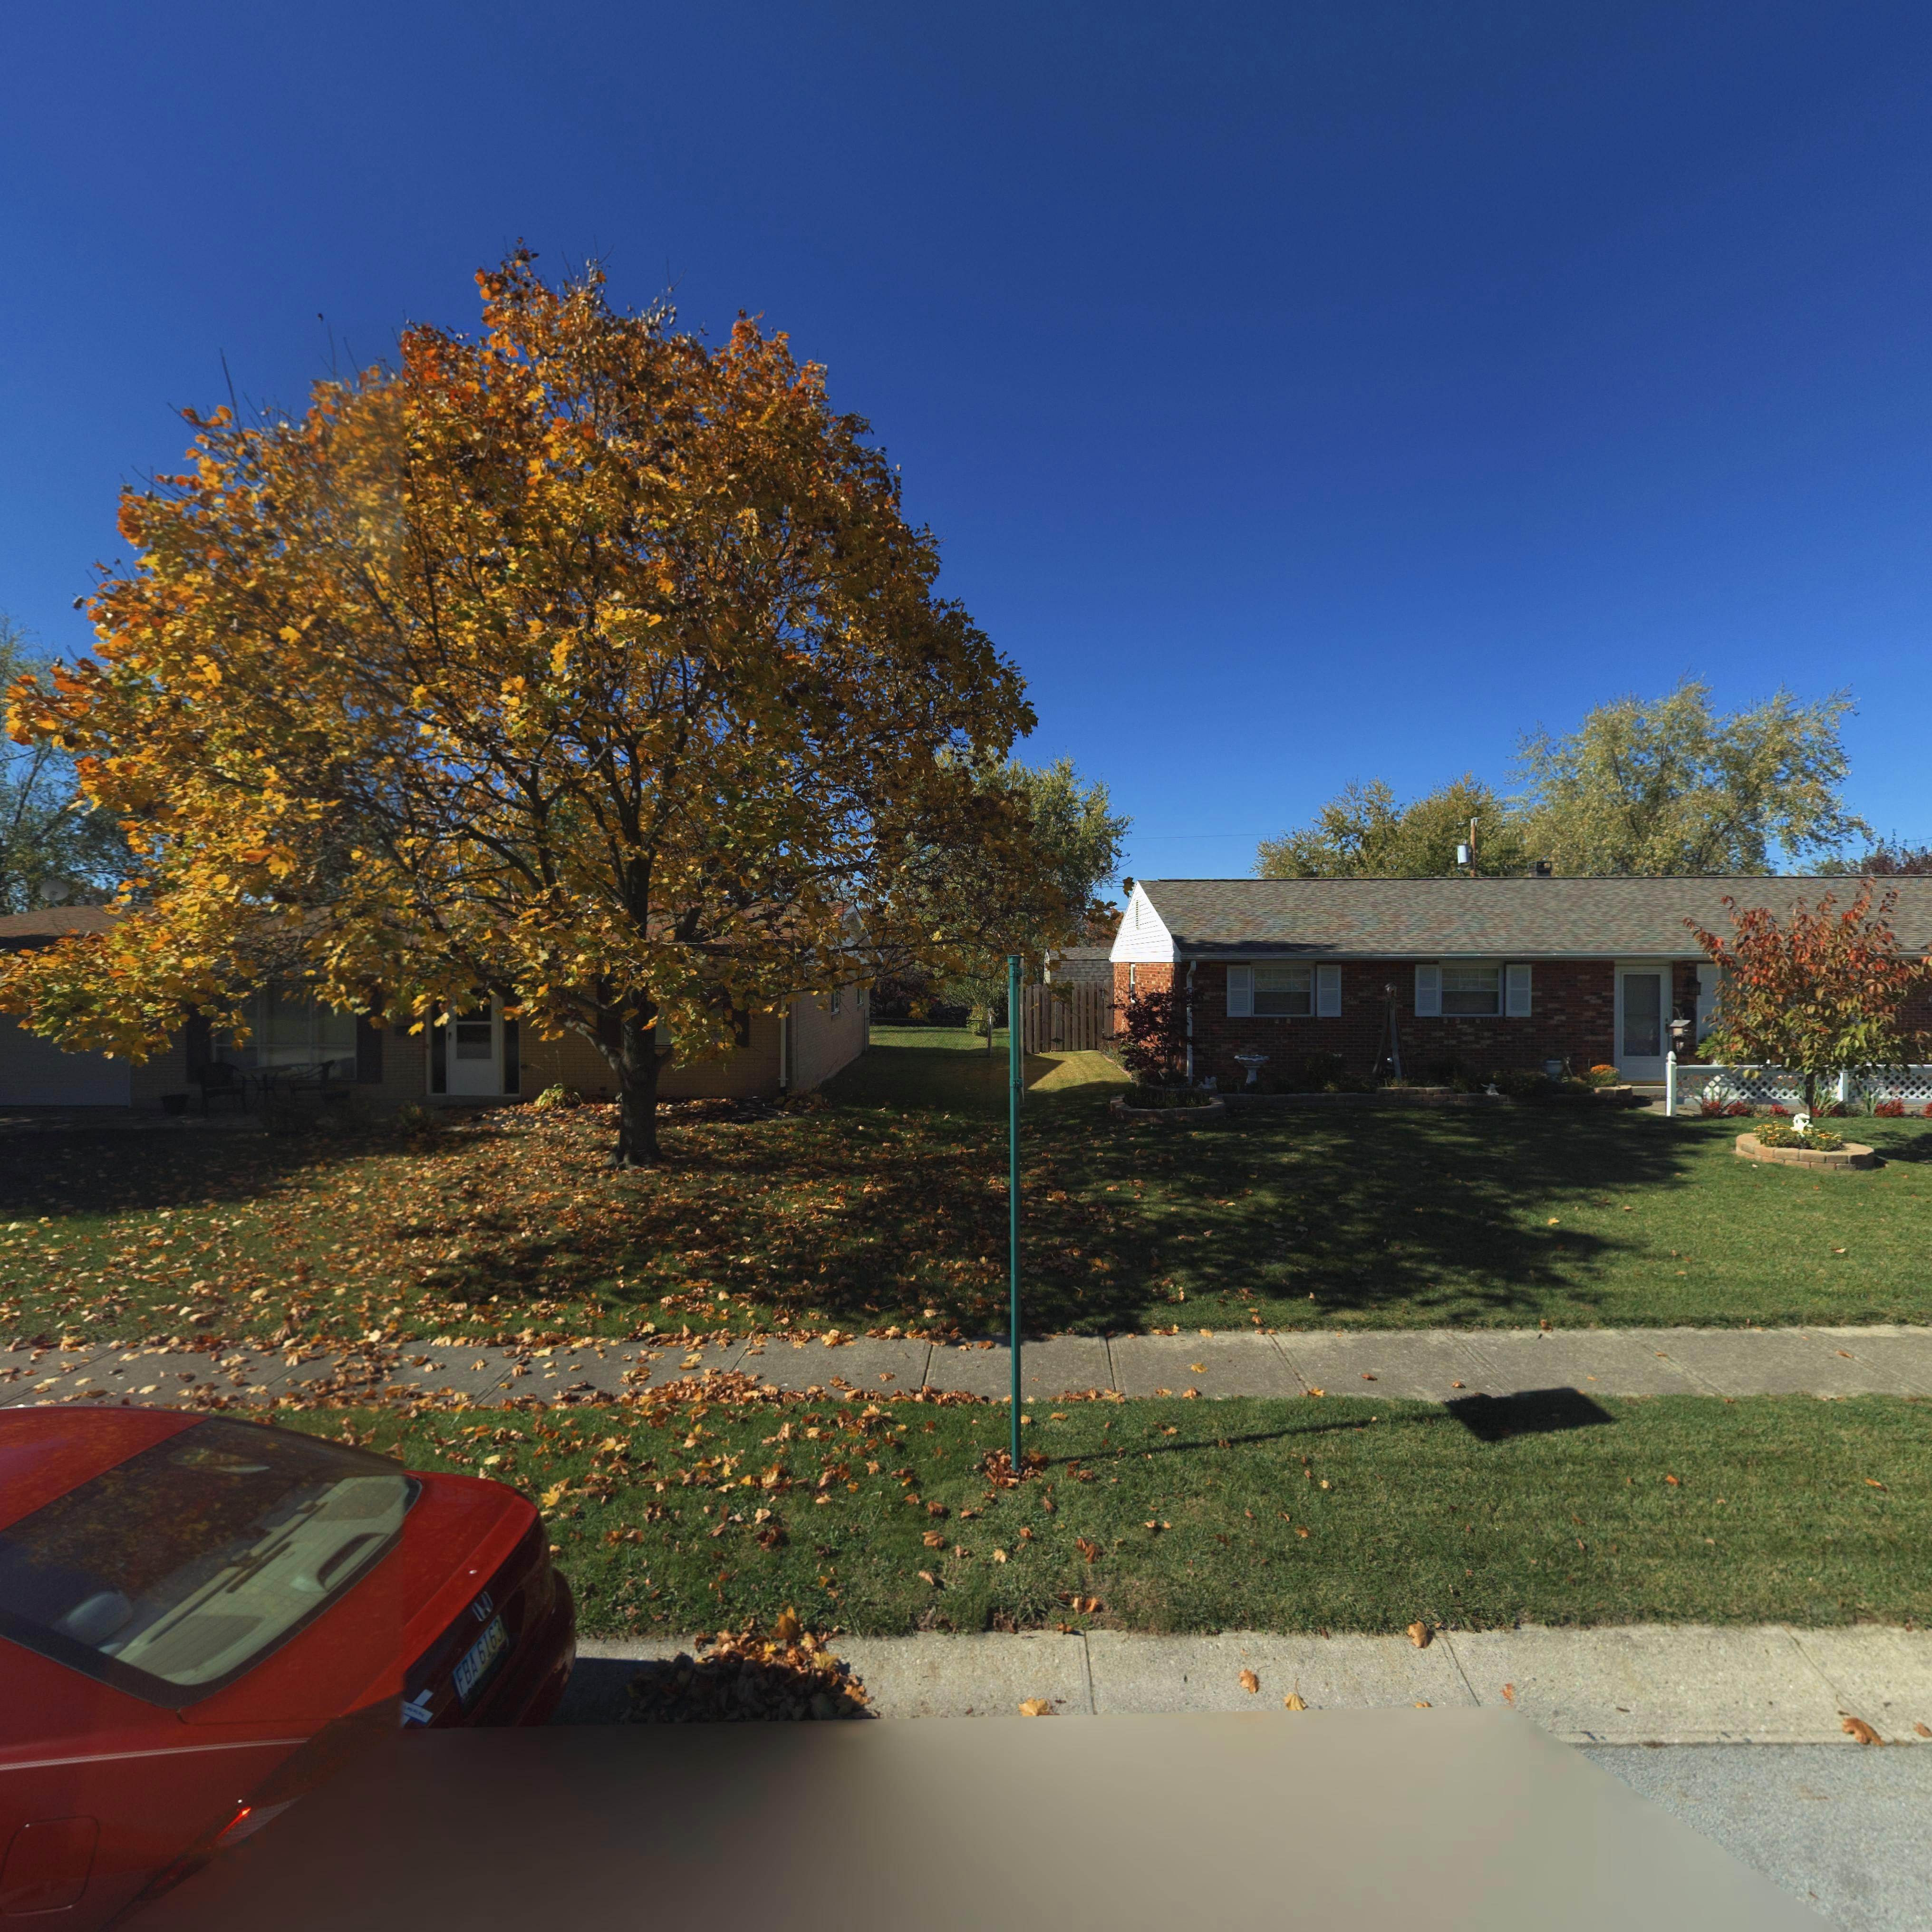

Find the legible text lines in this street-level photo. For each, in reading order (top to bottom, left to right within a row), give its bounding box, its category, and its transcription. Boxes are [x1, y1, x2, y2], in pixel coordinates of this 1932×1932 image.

[402, 1014, 415, 1024] StreetNumber: *1*